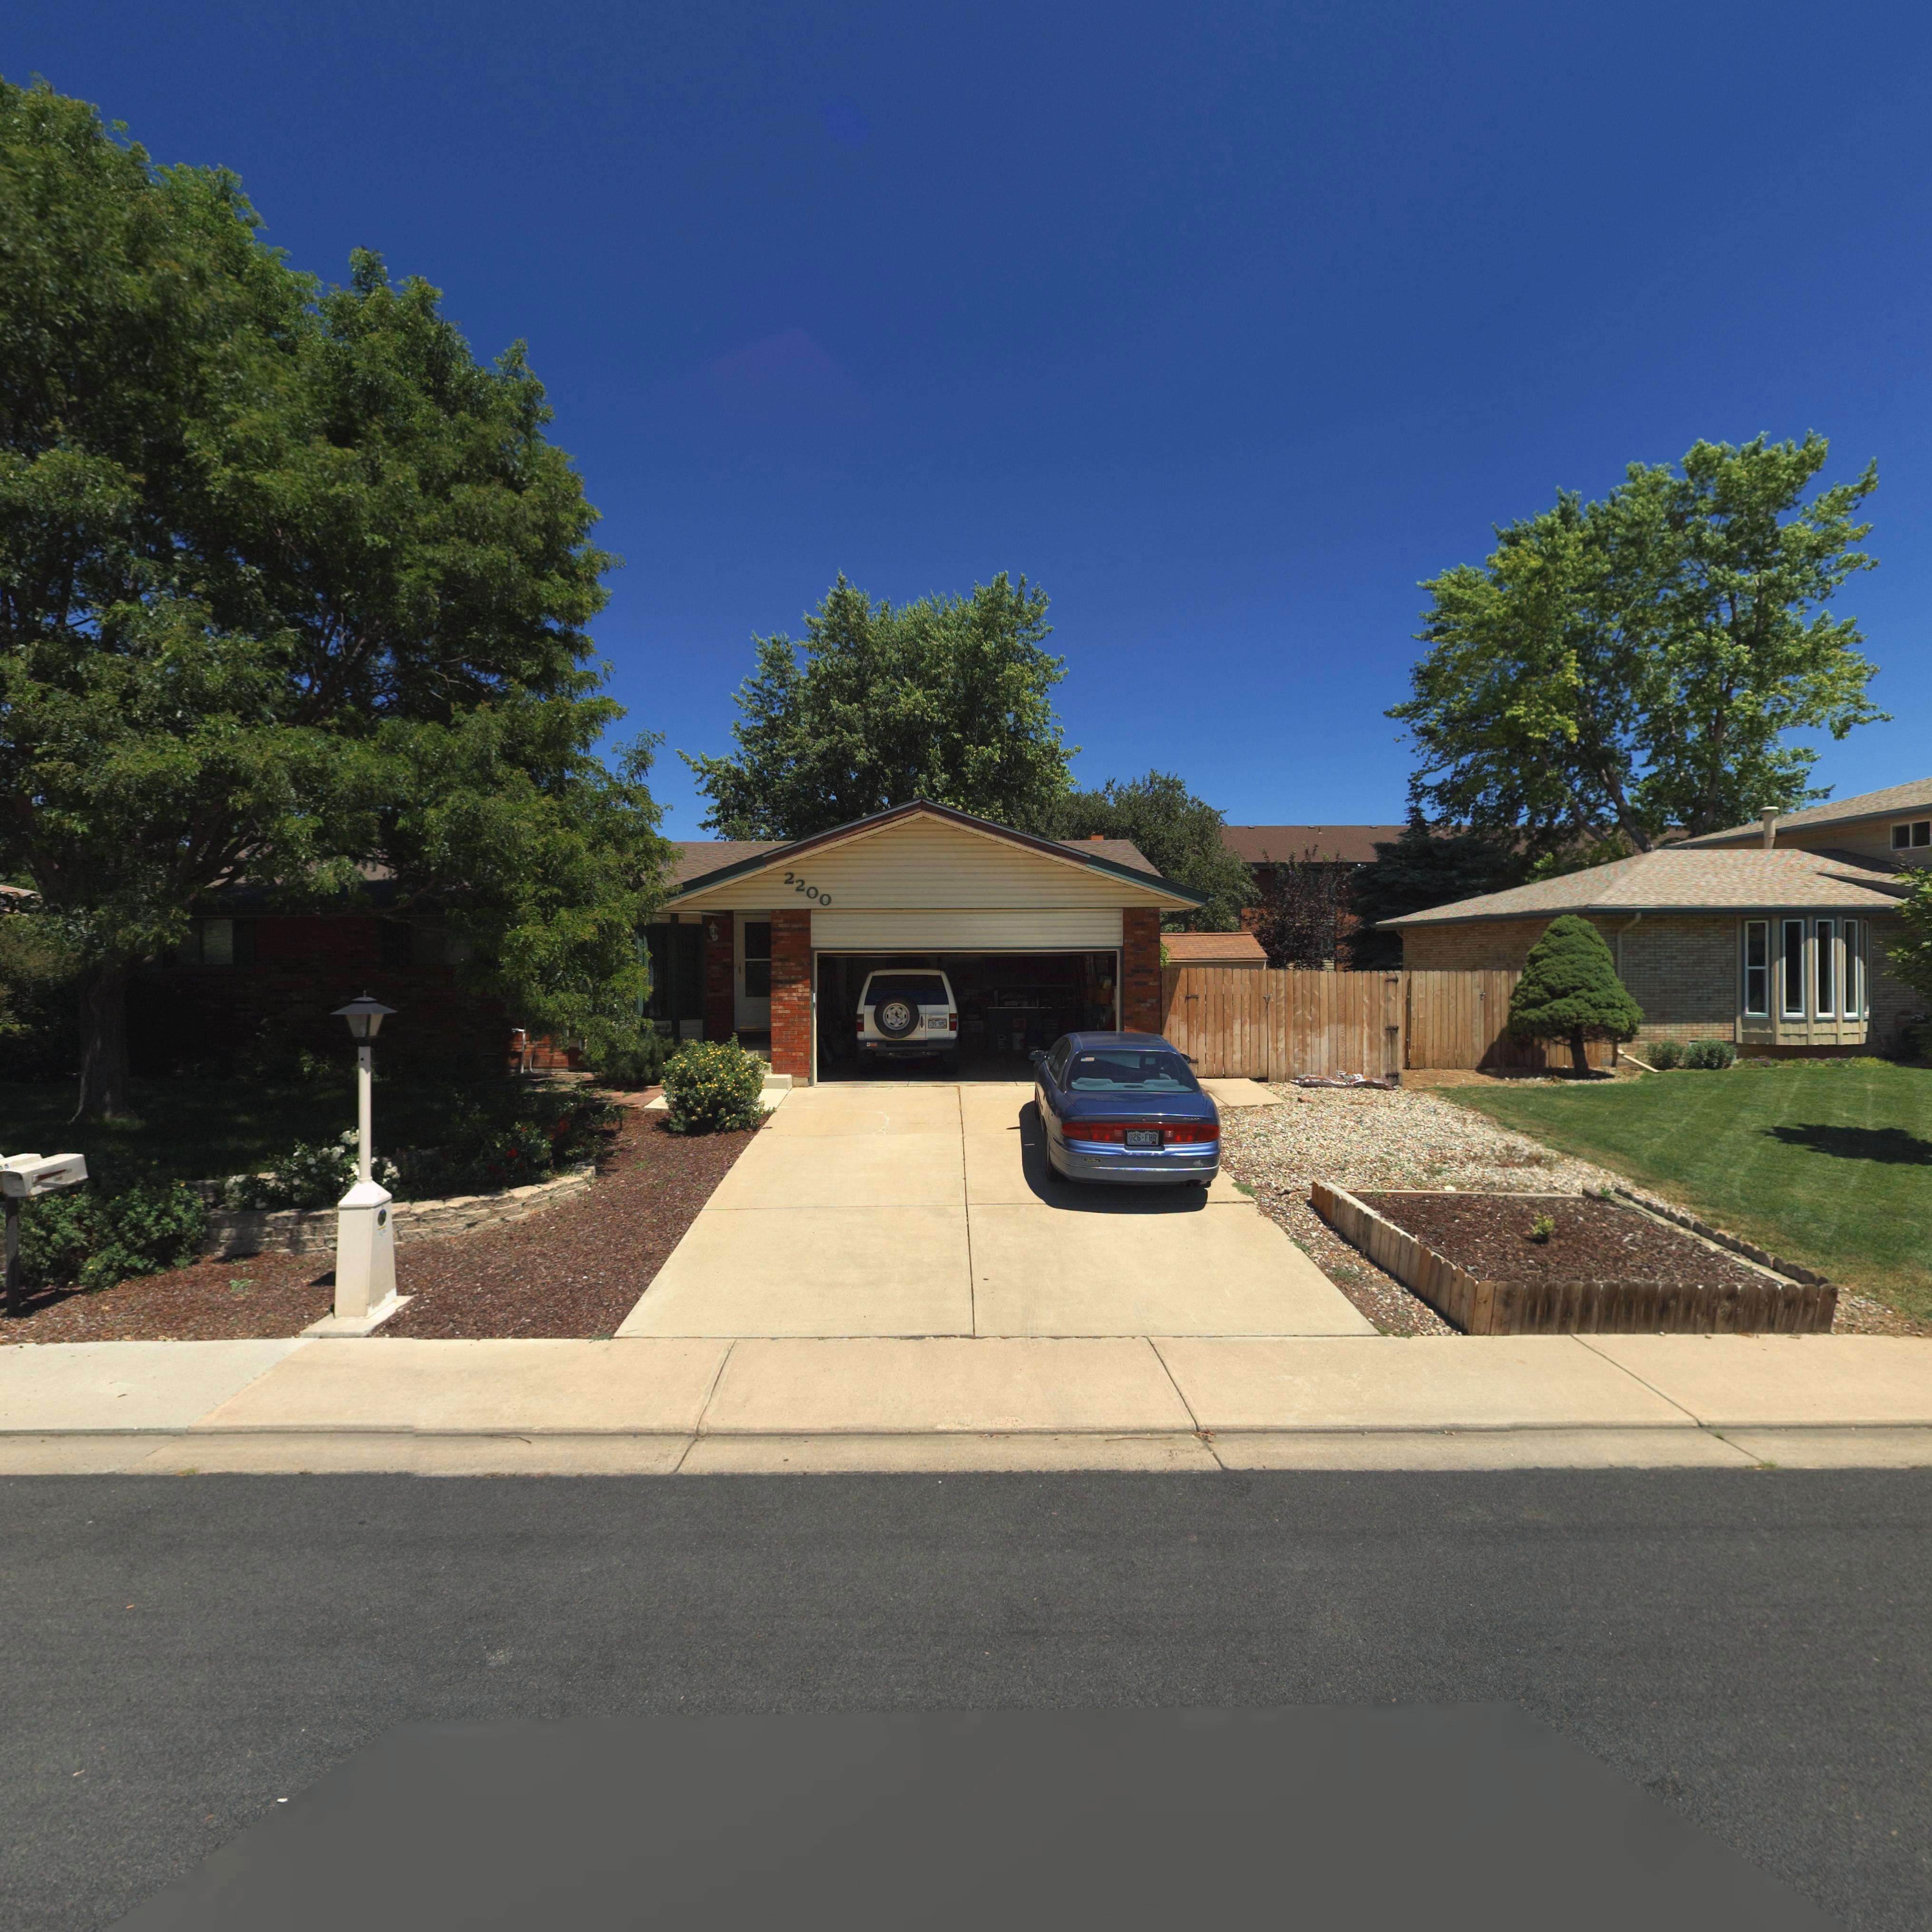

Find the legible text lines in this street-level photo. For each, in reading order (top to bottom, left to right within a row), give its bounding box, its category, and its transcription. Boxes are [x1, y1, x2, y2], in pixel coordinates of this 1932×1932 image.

[782, 869, 833, 907] StreetNumber: 2200